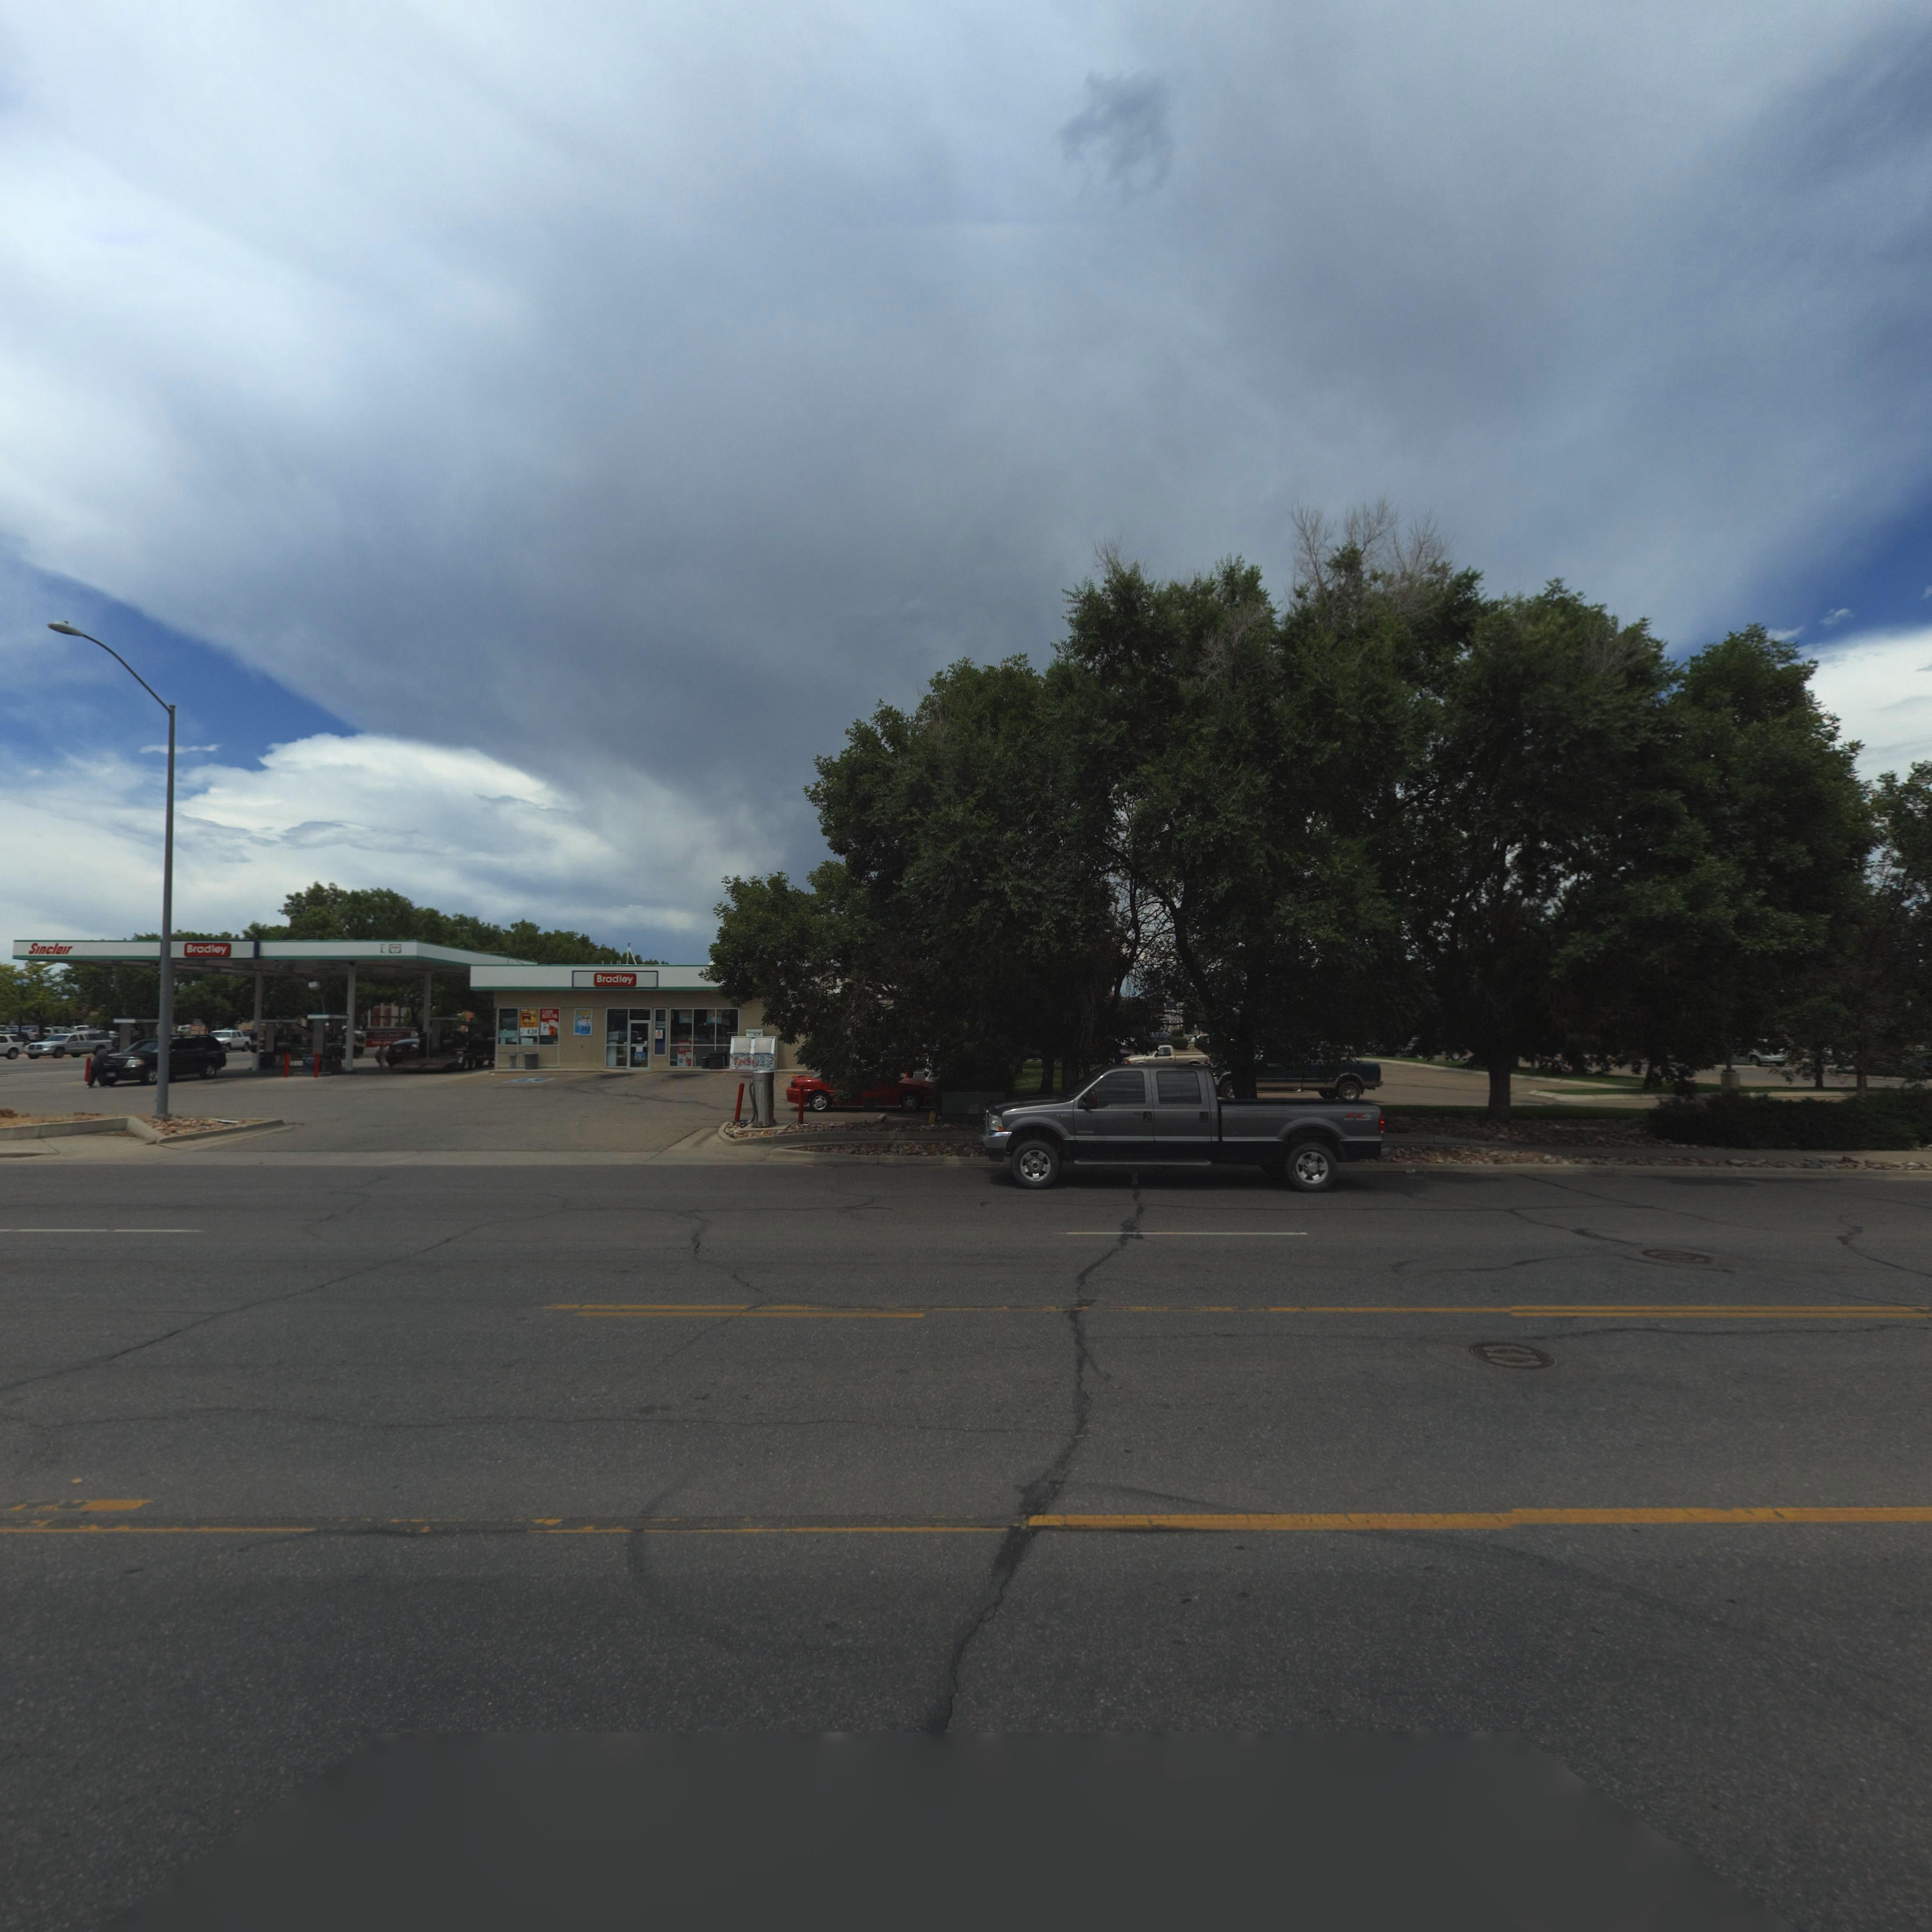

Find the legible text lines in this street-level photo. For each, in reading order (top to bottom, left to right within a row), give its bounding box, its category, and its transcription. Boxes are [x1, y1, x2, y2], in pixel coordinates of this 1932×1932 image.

[28, 942, 74, 955] BusinessName: S*ncl**r
[186, 944, 228, 956] BusinessName: Br*dley
[596, 974, 634, 985] BusinessName: Bradley